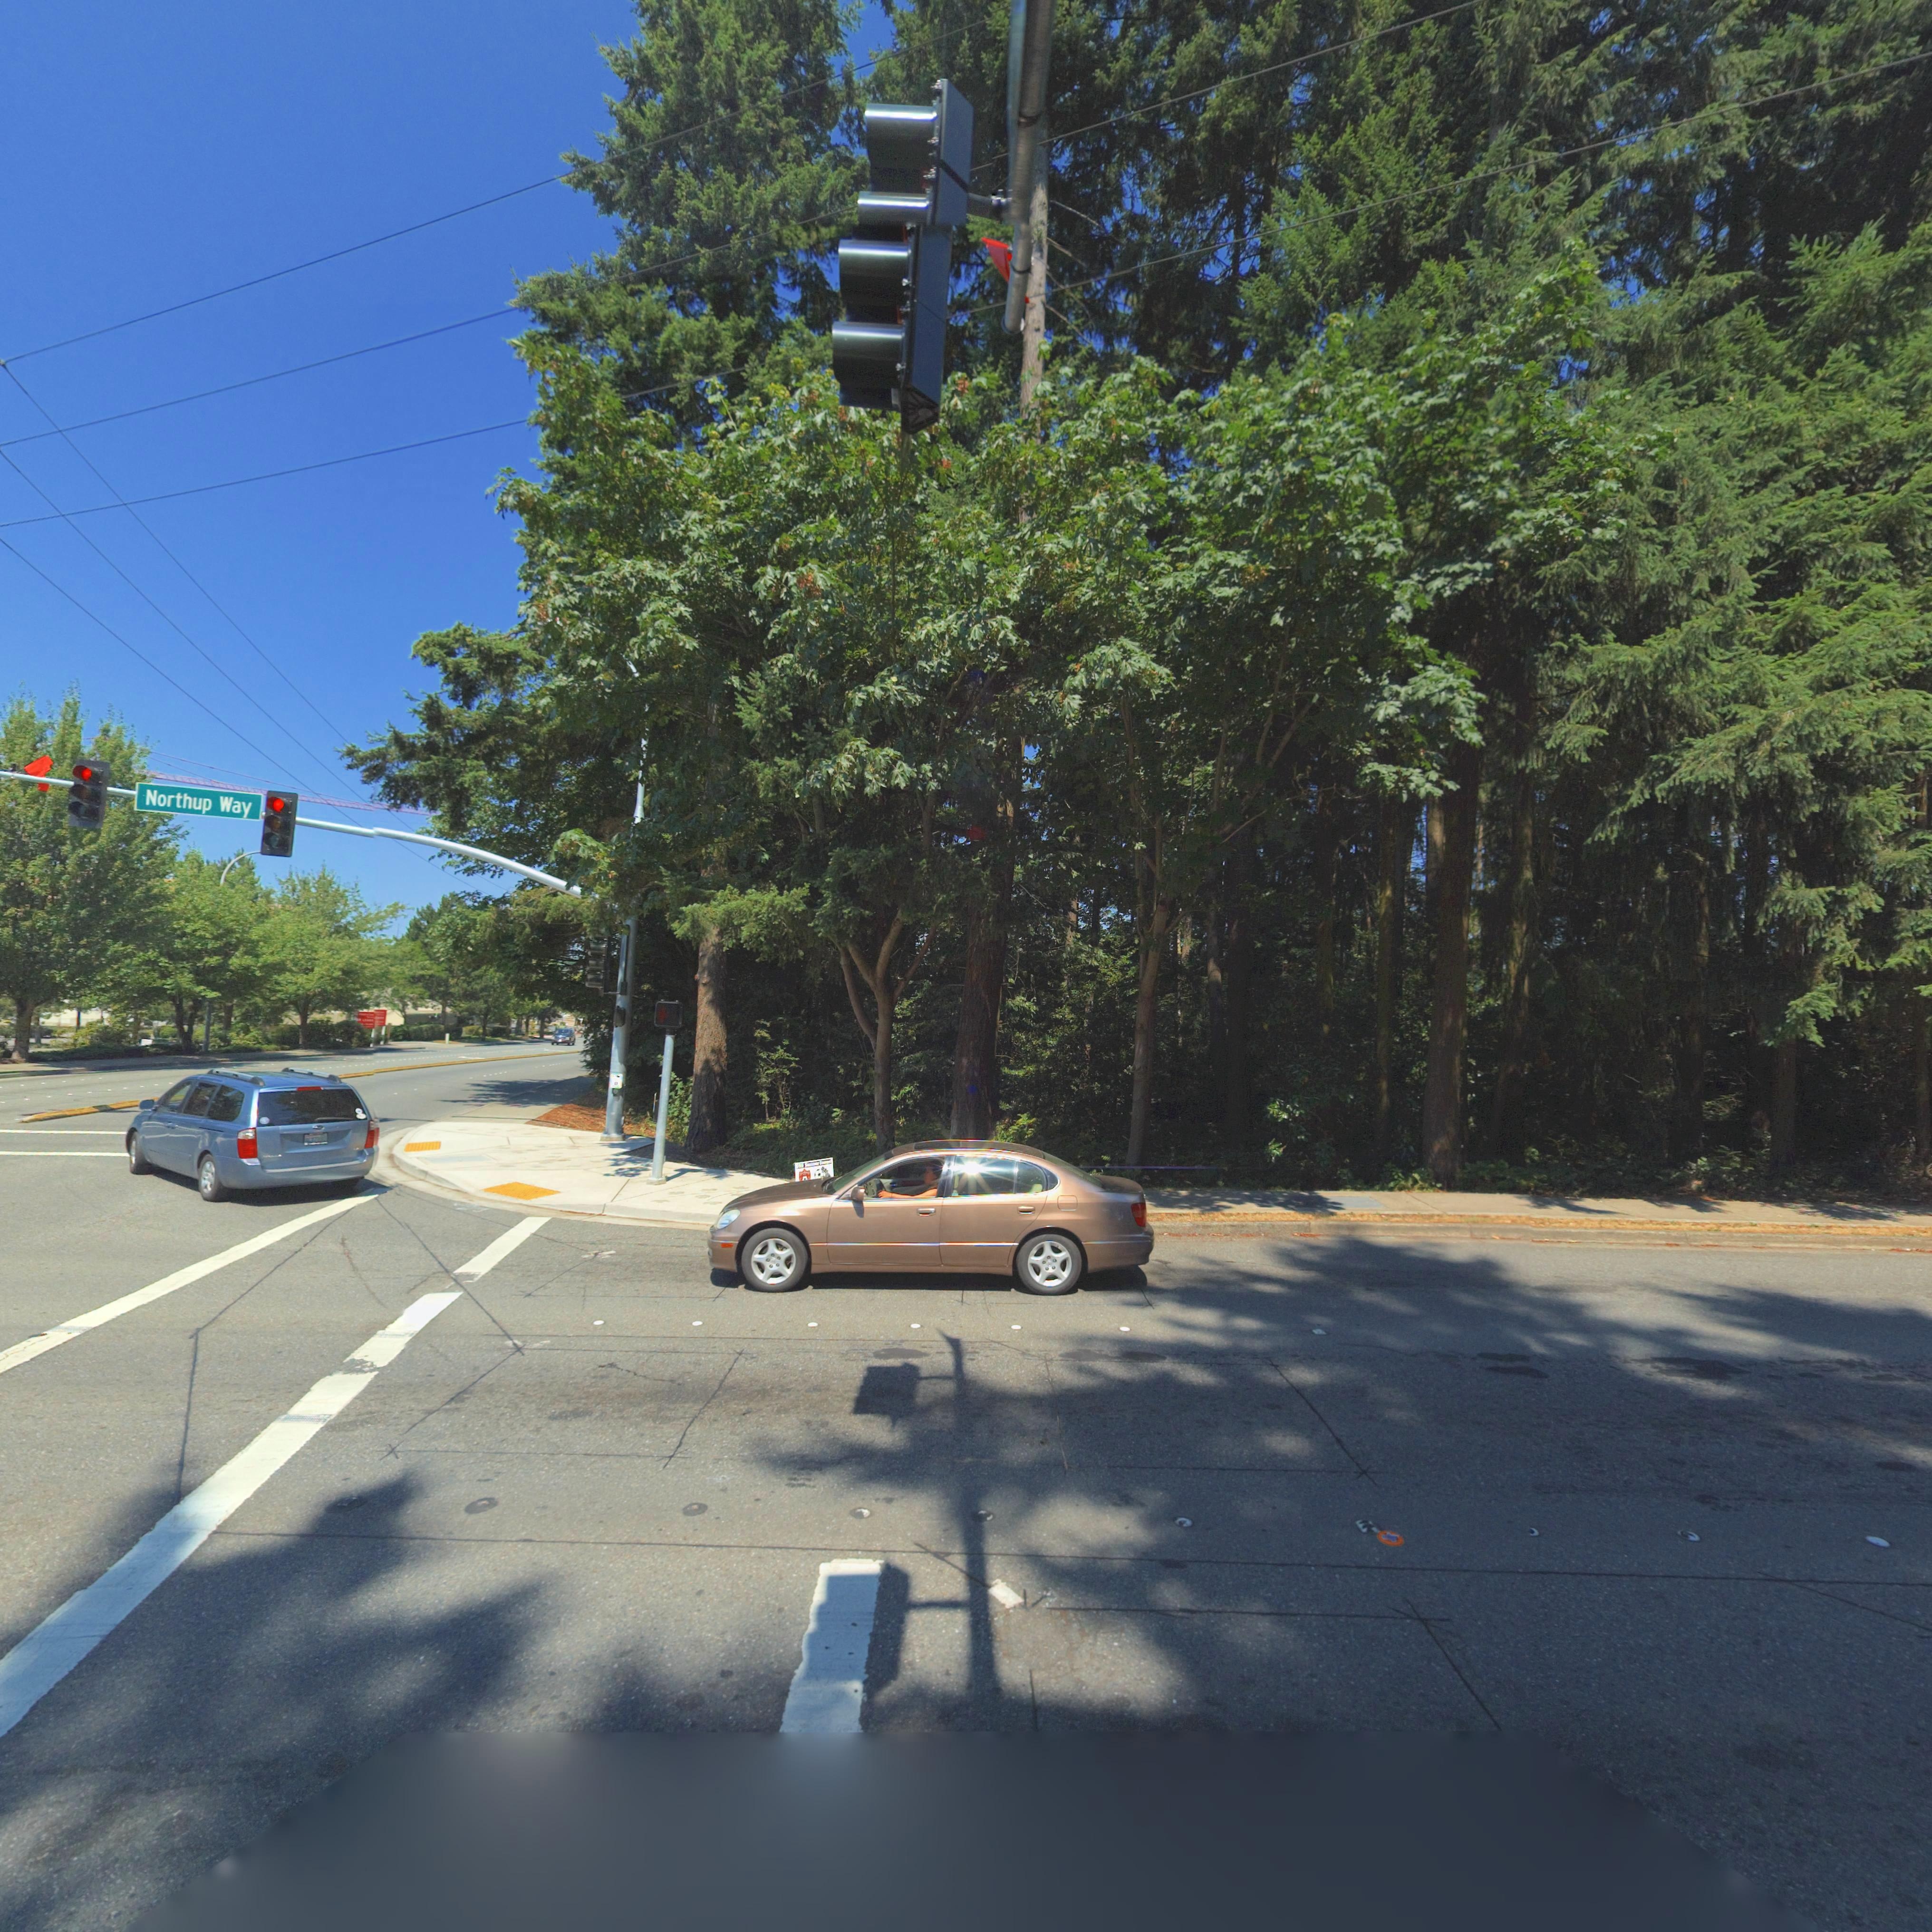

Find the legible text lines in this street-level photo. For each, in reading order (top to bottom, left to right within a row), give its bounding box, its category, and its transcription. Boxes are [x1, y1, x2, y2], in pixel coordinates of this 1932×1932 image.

[144, 788, 255, 818] StreetName: Northup Way